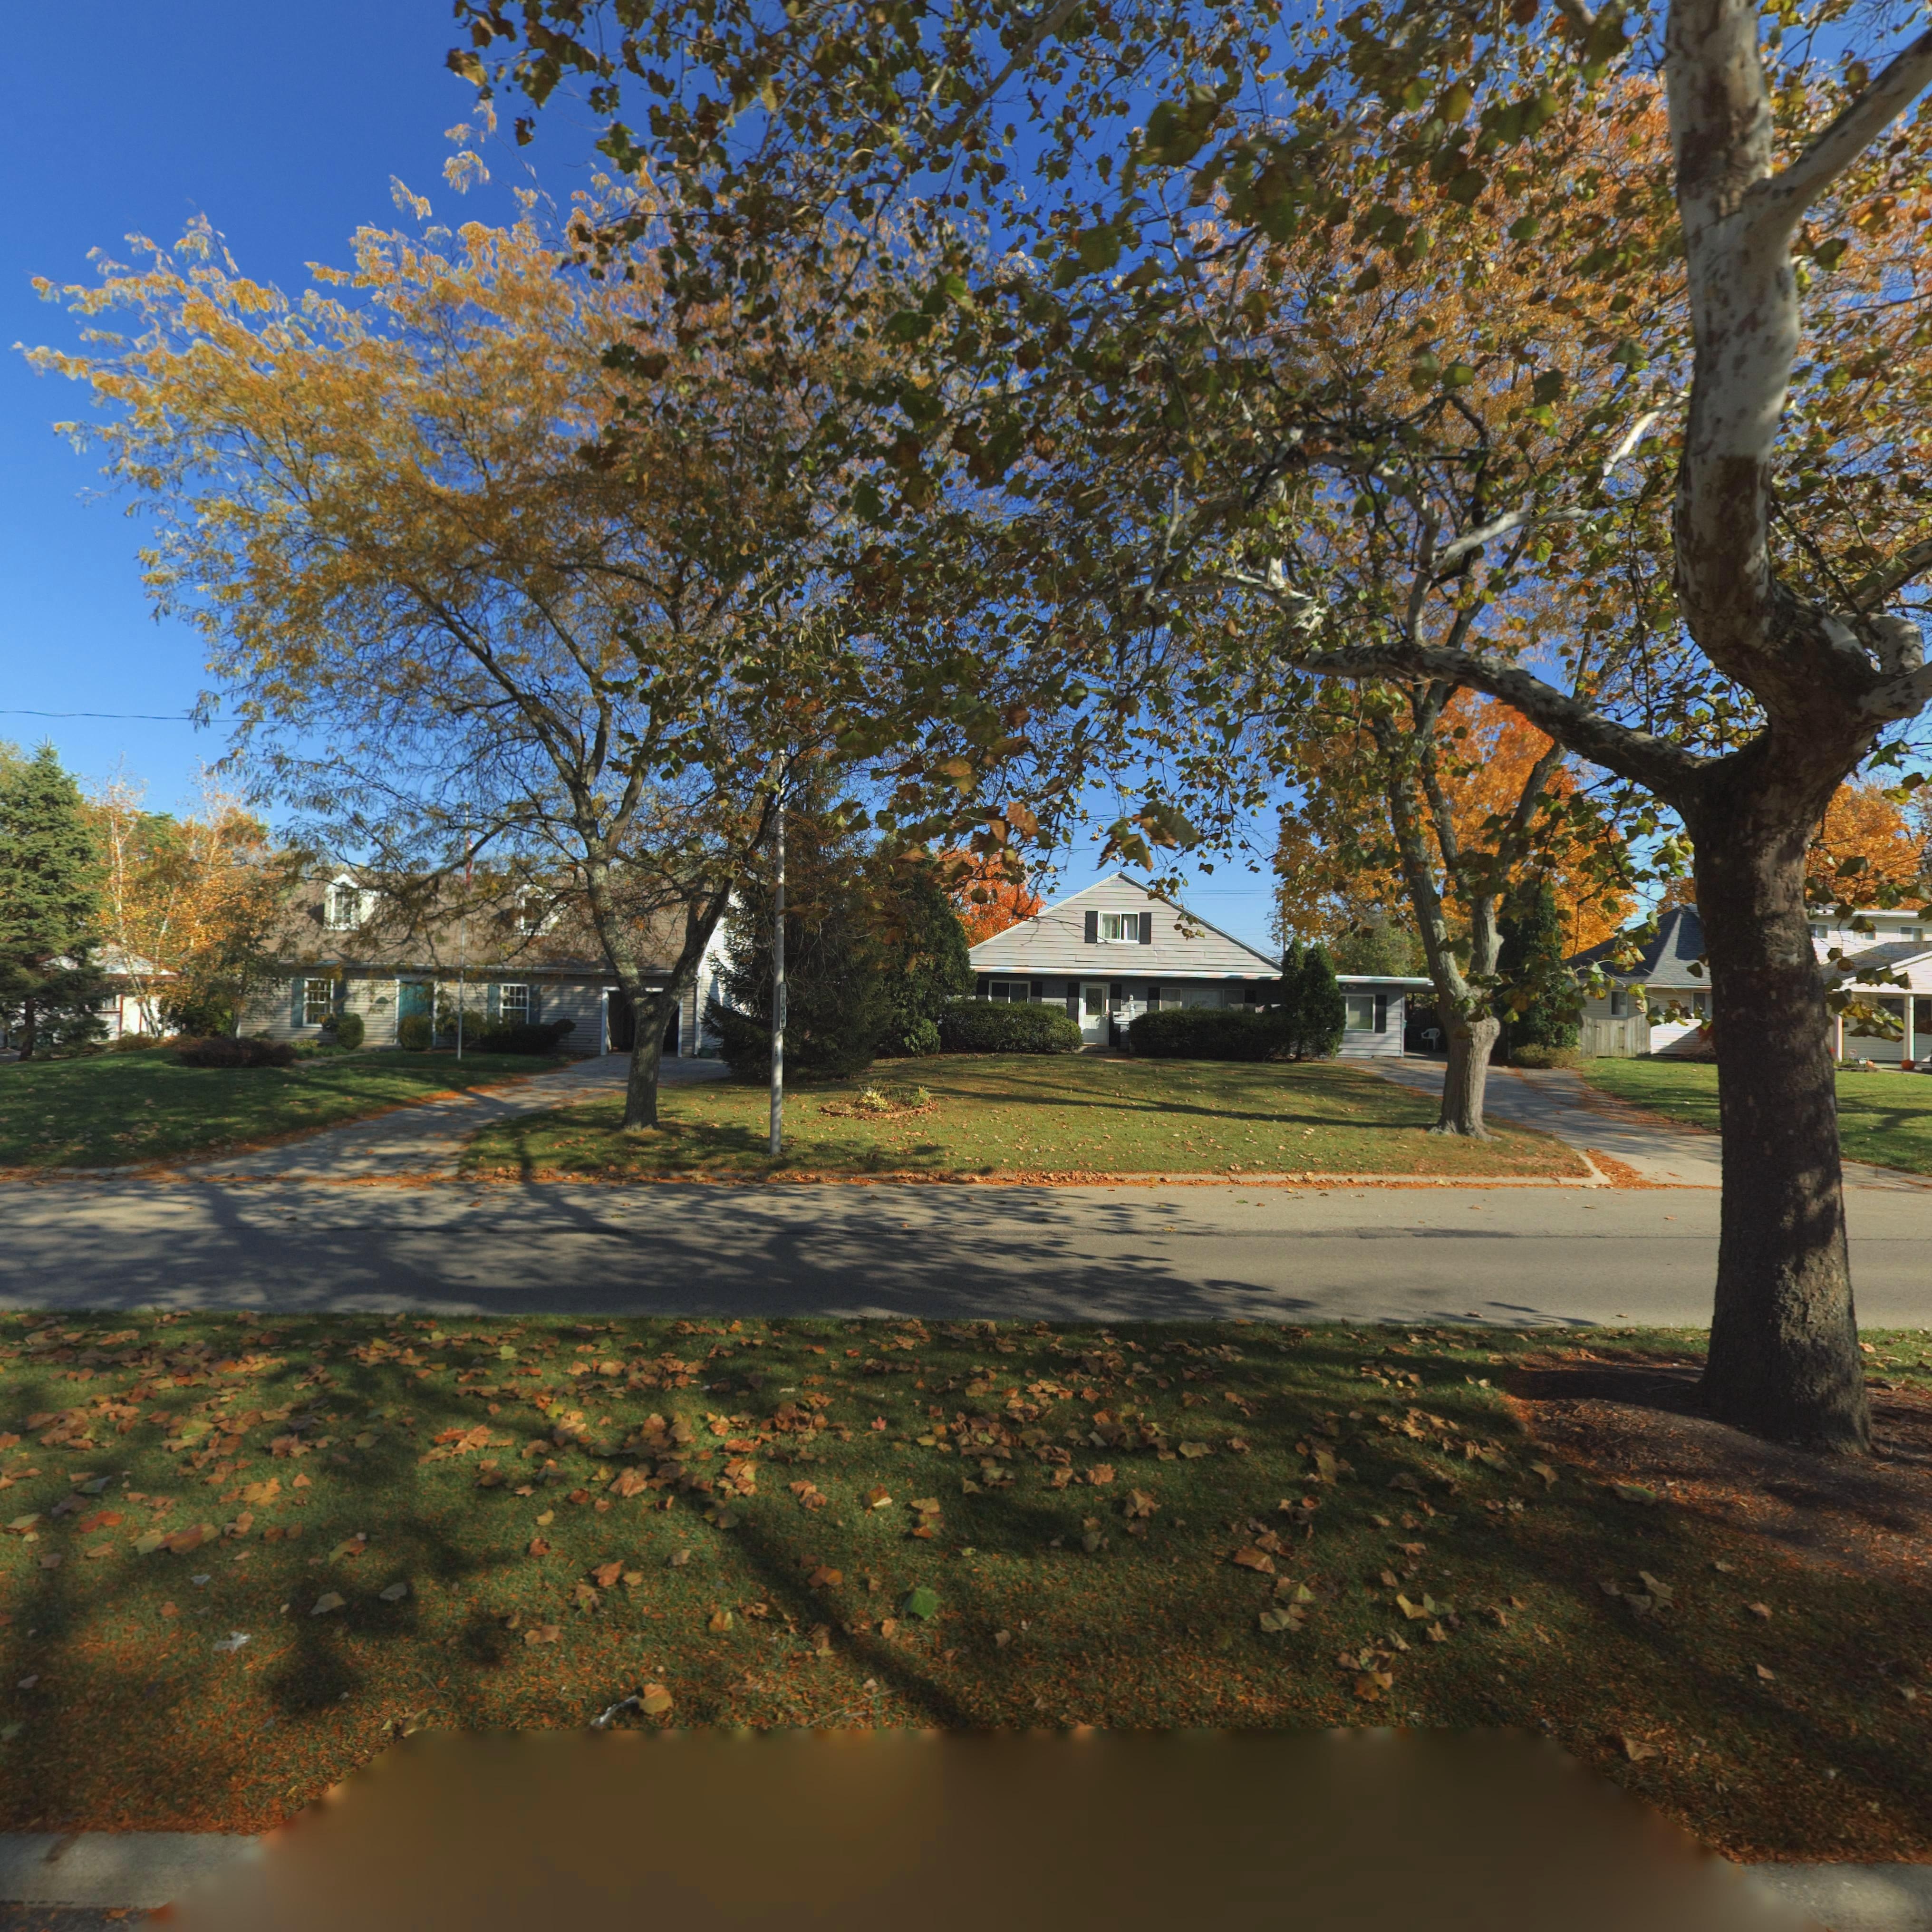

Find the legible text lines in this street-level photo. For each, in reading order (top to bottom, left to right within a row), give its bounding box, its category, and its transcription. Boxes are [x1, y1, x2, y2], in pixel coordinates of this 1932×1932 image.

[780, 1006, 786, 1023] None: 25
[1125, 1005, 1137, 1010] StreetNumber: 3***